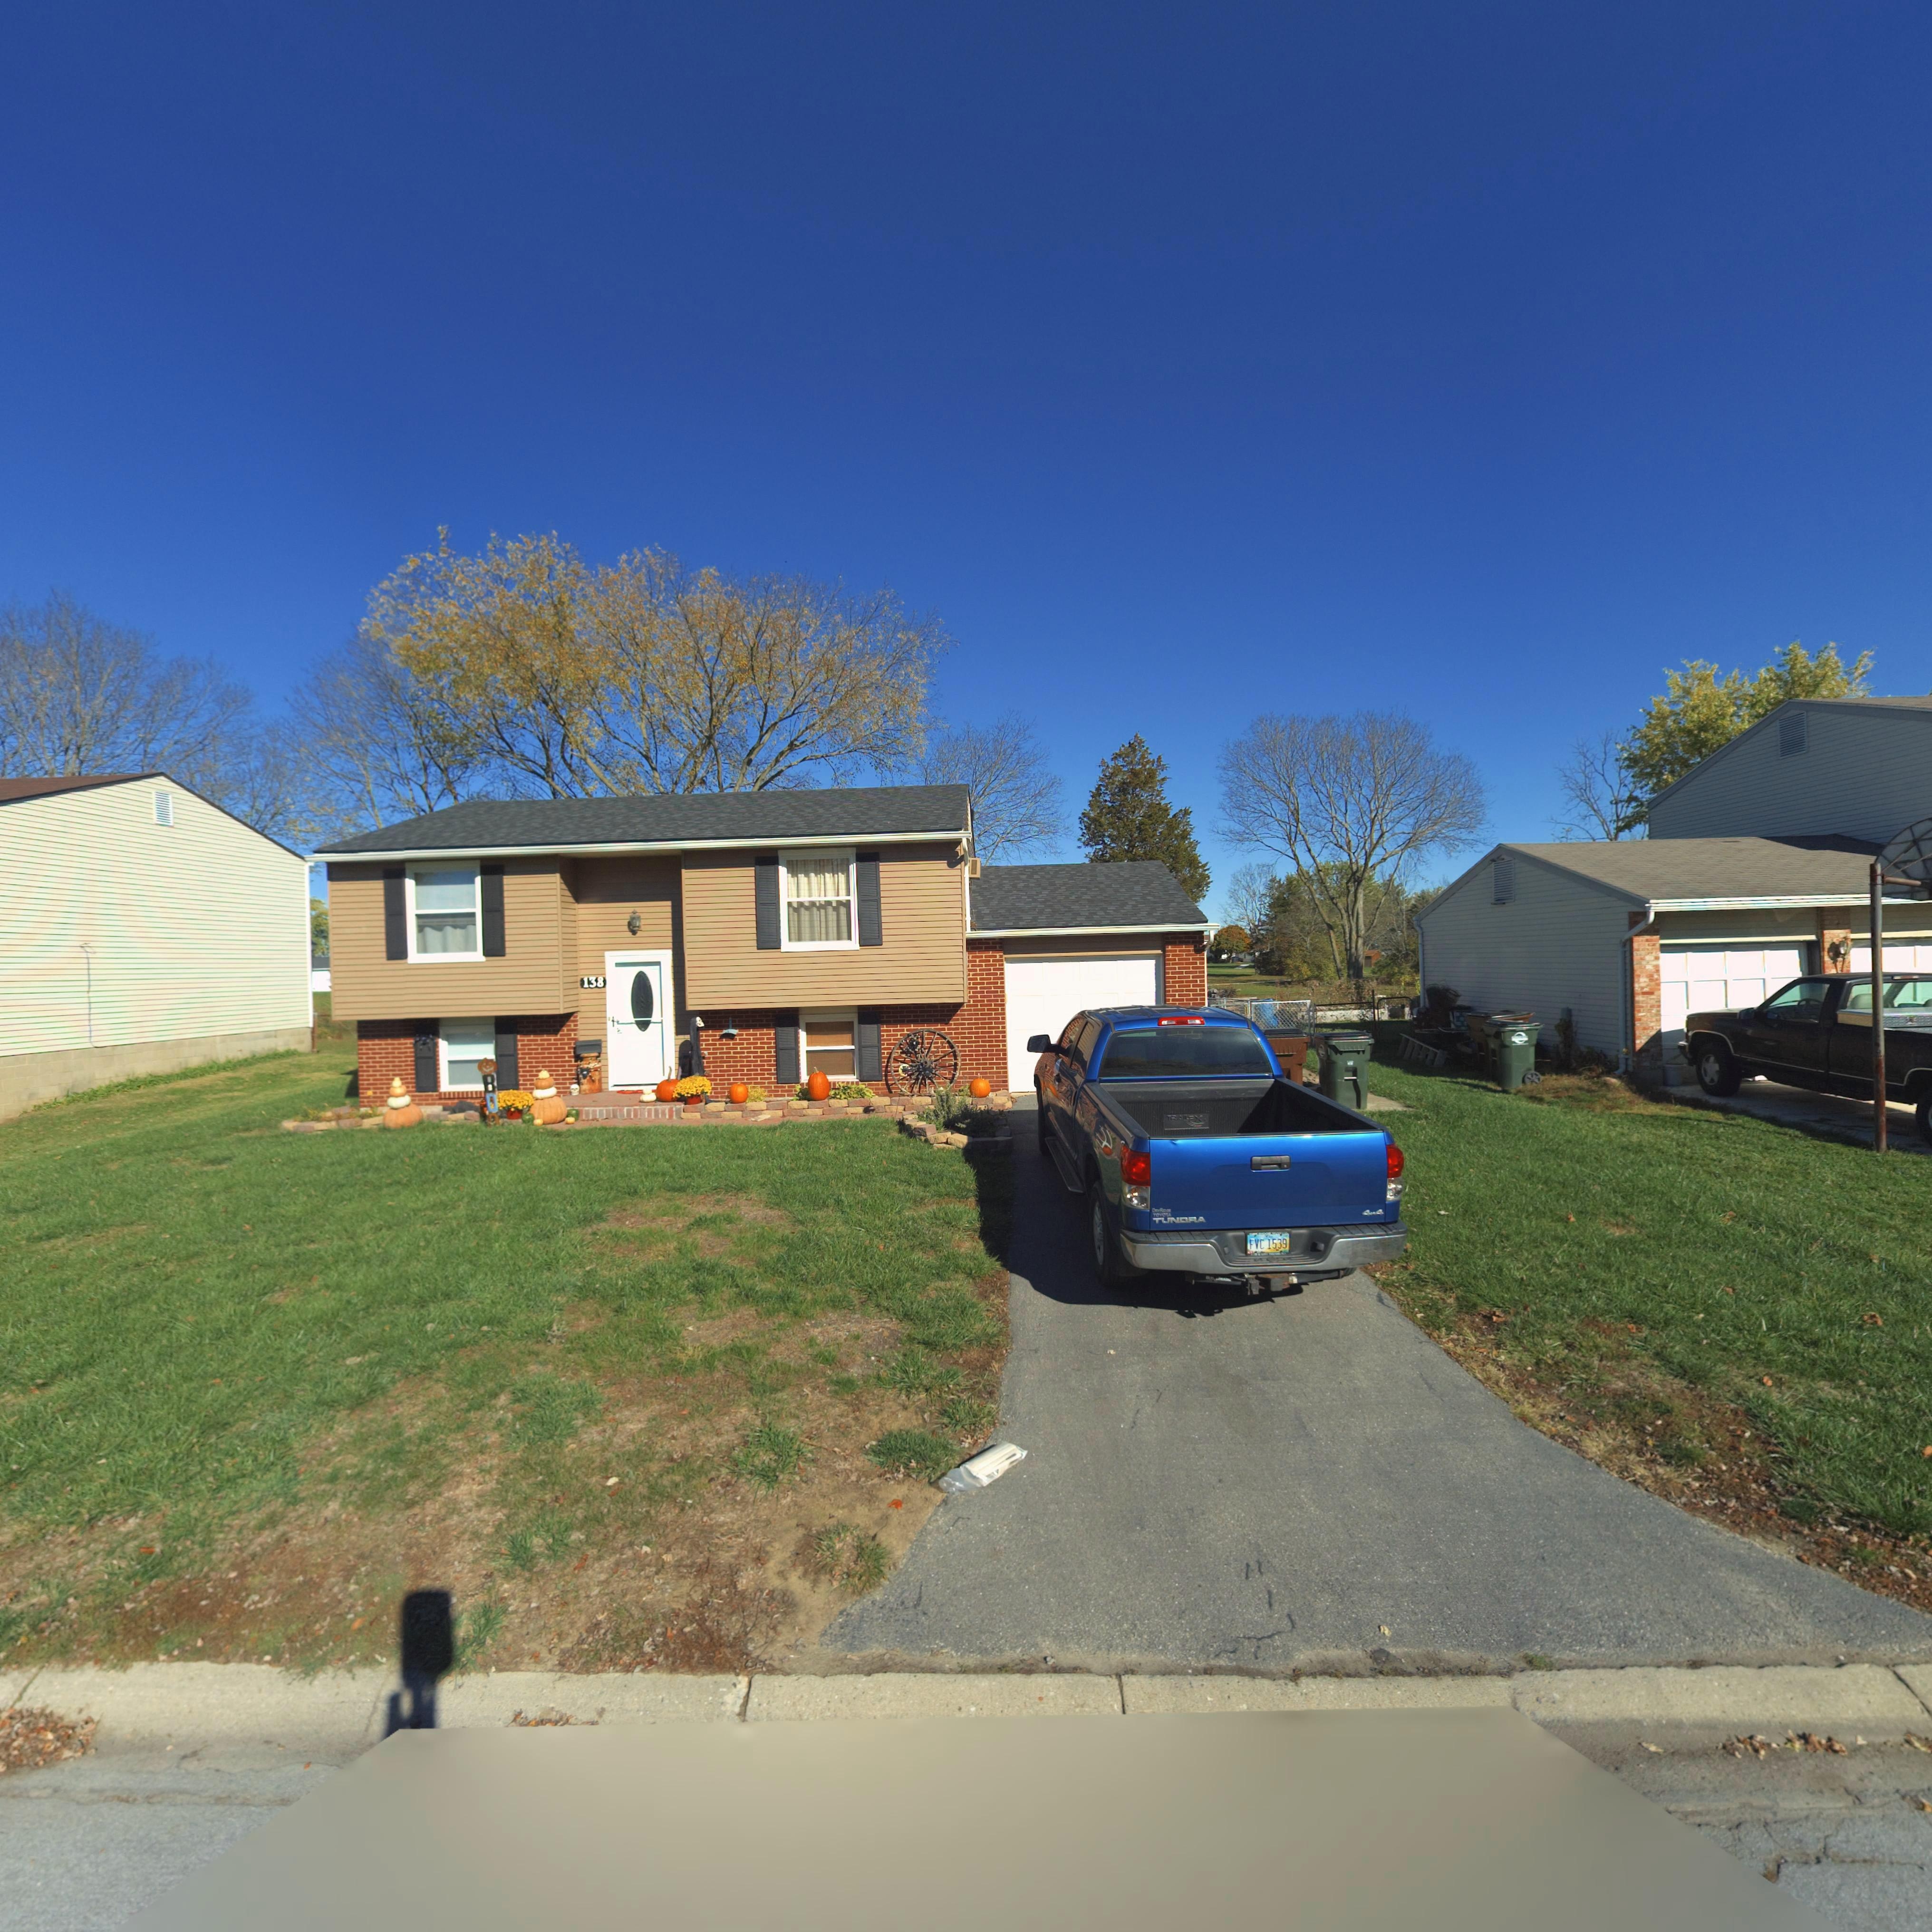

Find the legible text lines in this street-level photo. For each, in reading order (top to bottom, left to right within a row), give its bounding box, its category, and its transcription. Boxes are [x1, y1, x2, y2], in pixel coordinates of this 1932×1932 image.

[582, 976, 605, 989] StreetNumber: 138